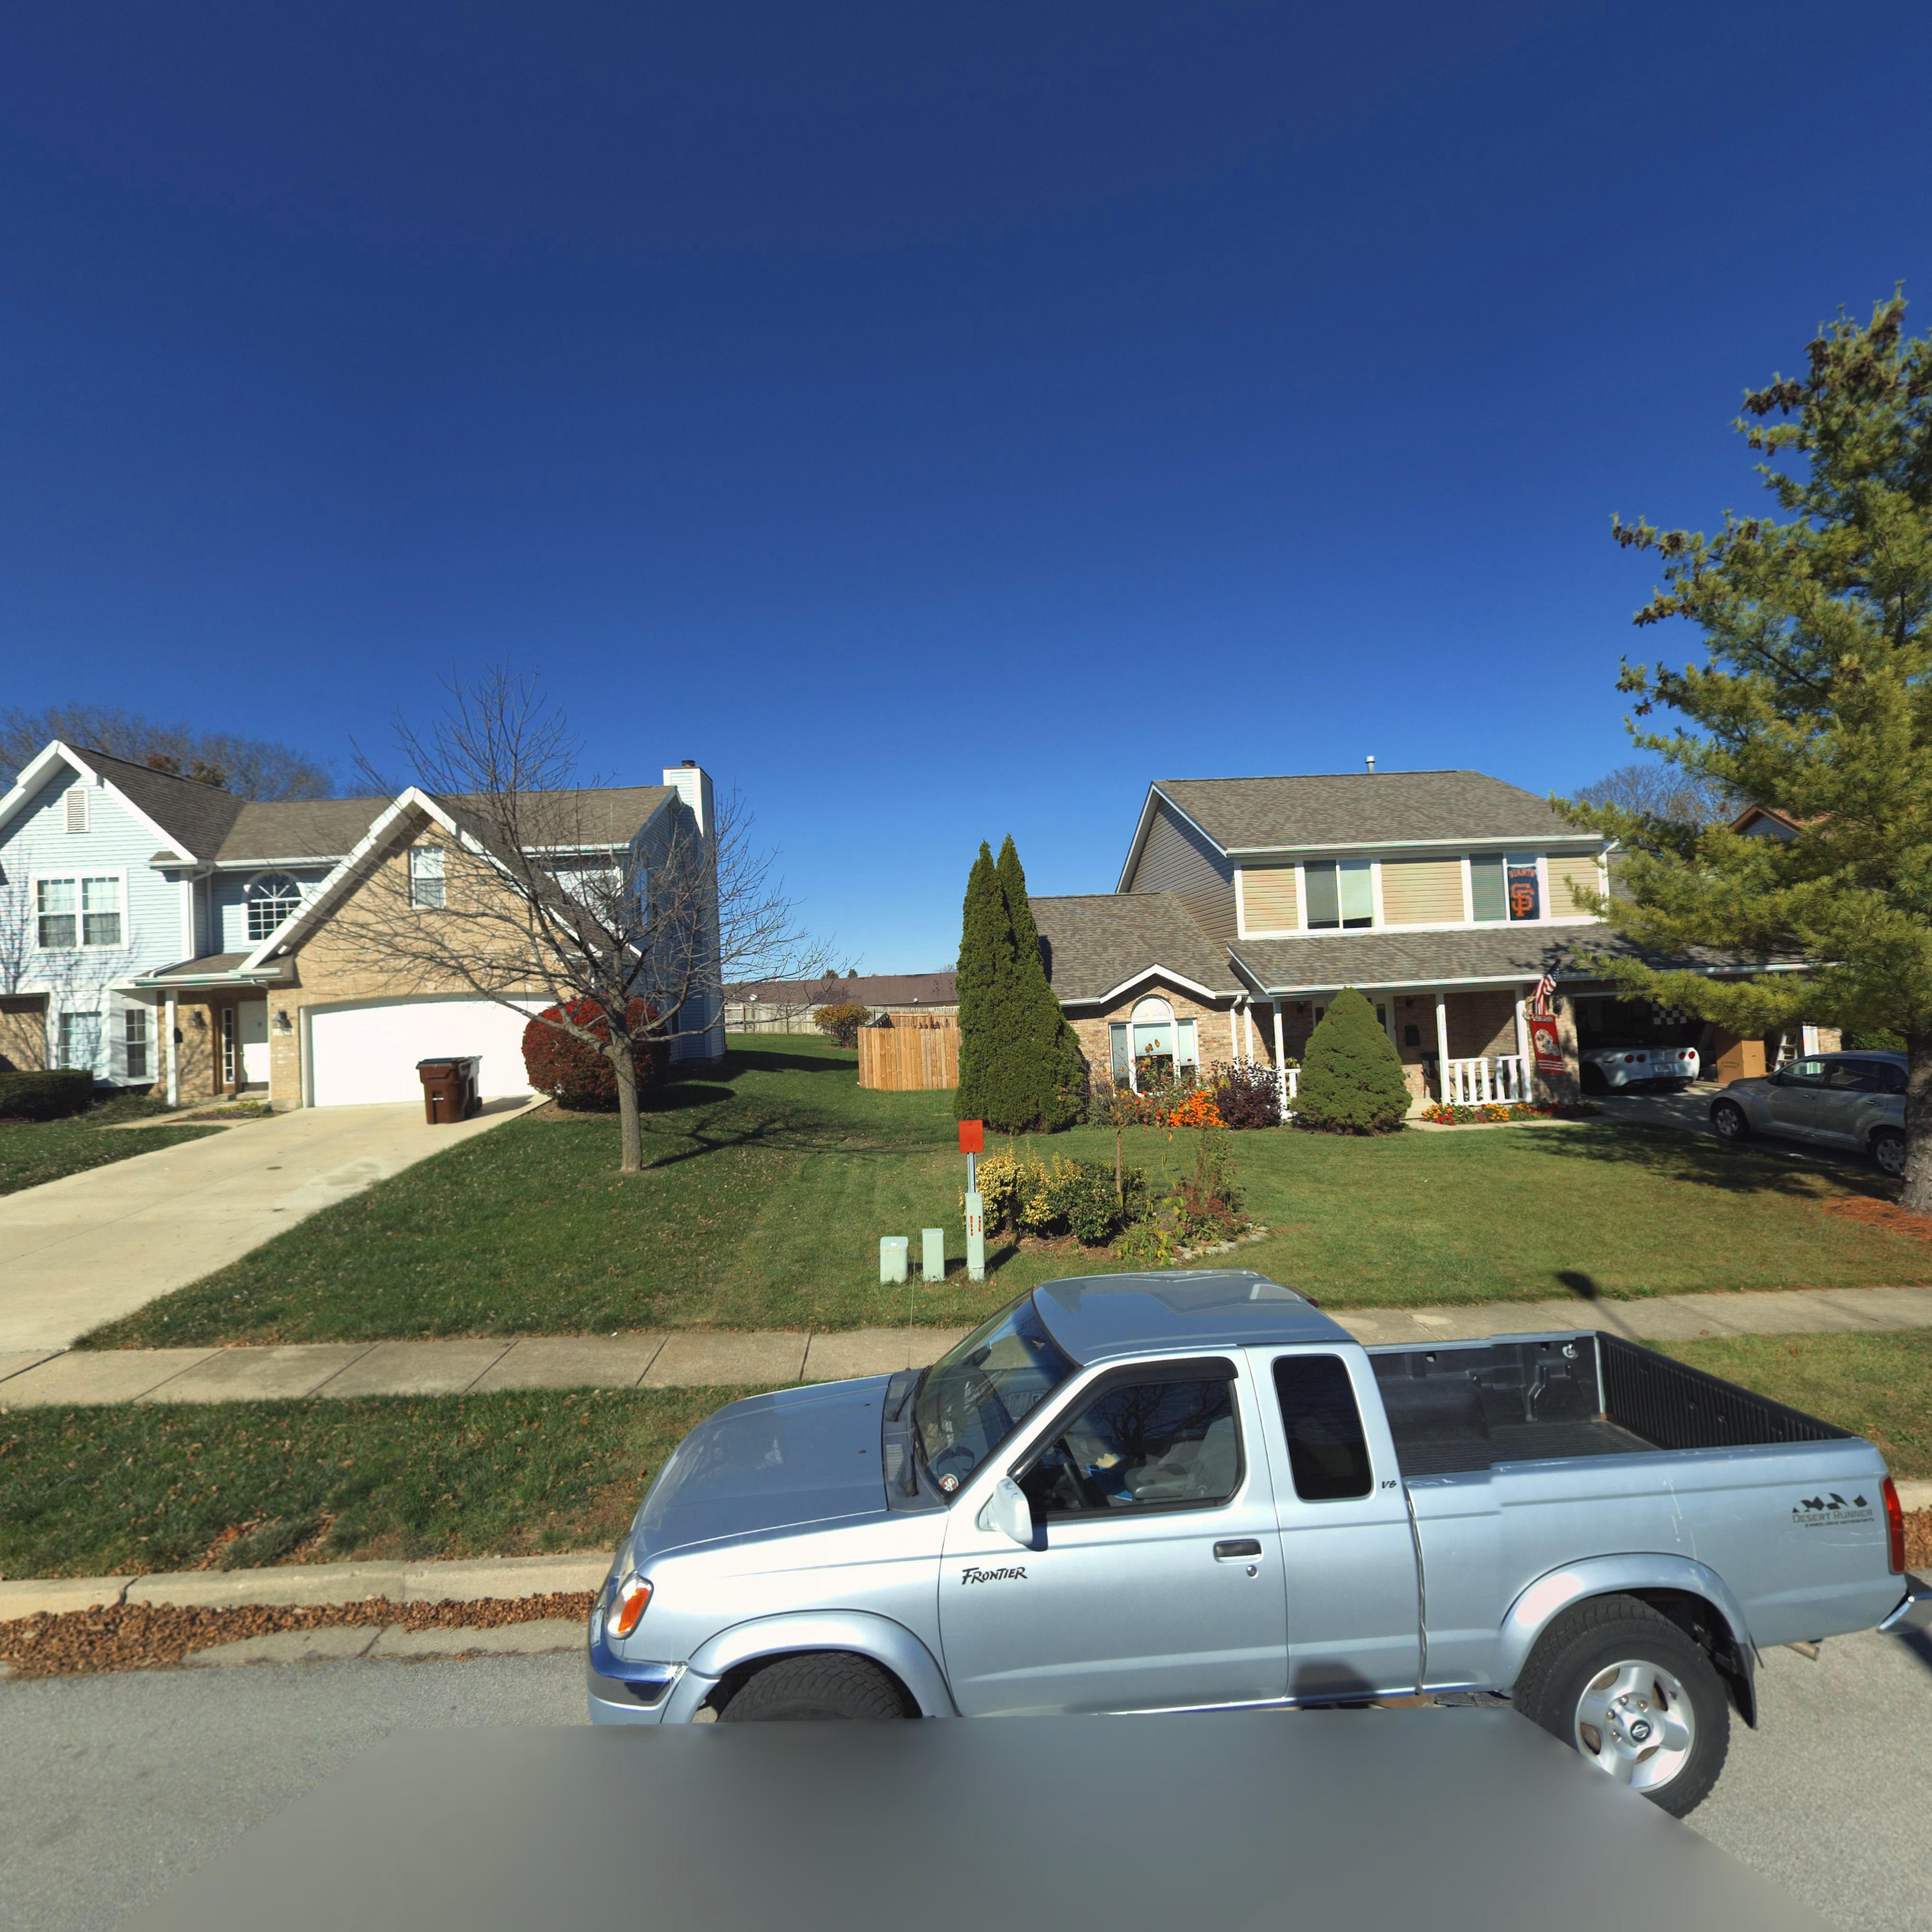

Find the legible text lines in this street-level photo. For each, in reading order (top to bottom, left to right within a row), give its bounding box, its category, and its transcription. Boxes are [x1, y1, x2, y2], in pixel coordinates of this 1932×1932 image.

[1440, 1012, 1447, 1034] StreetNumber: *2*